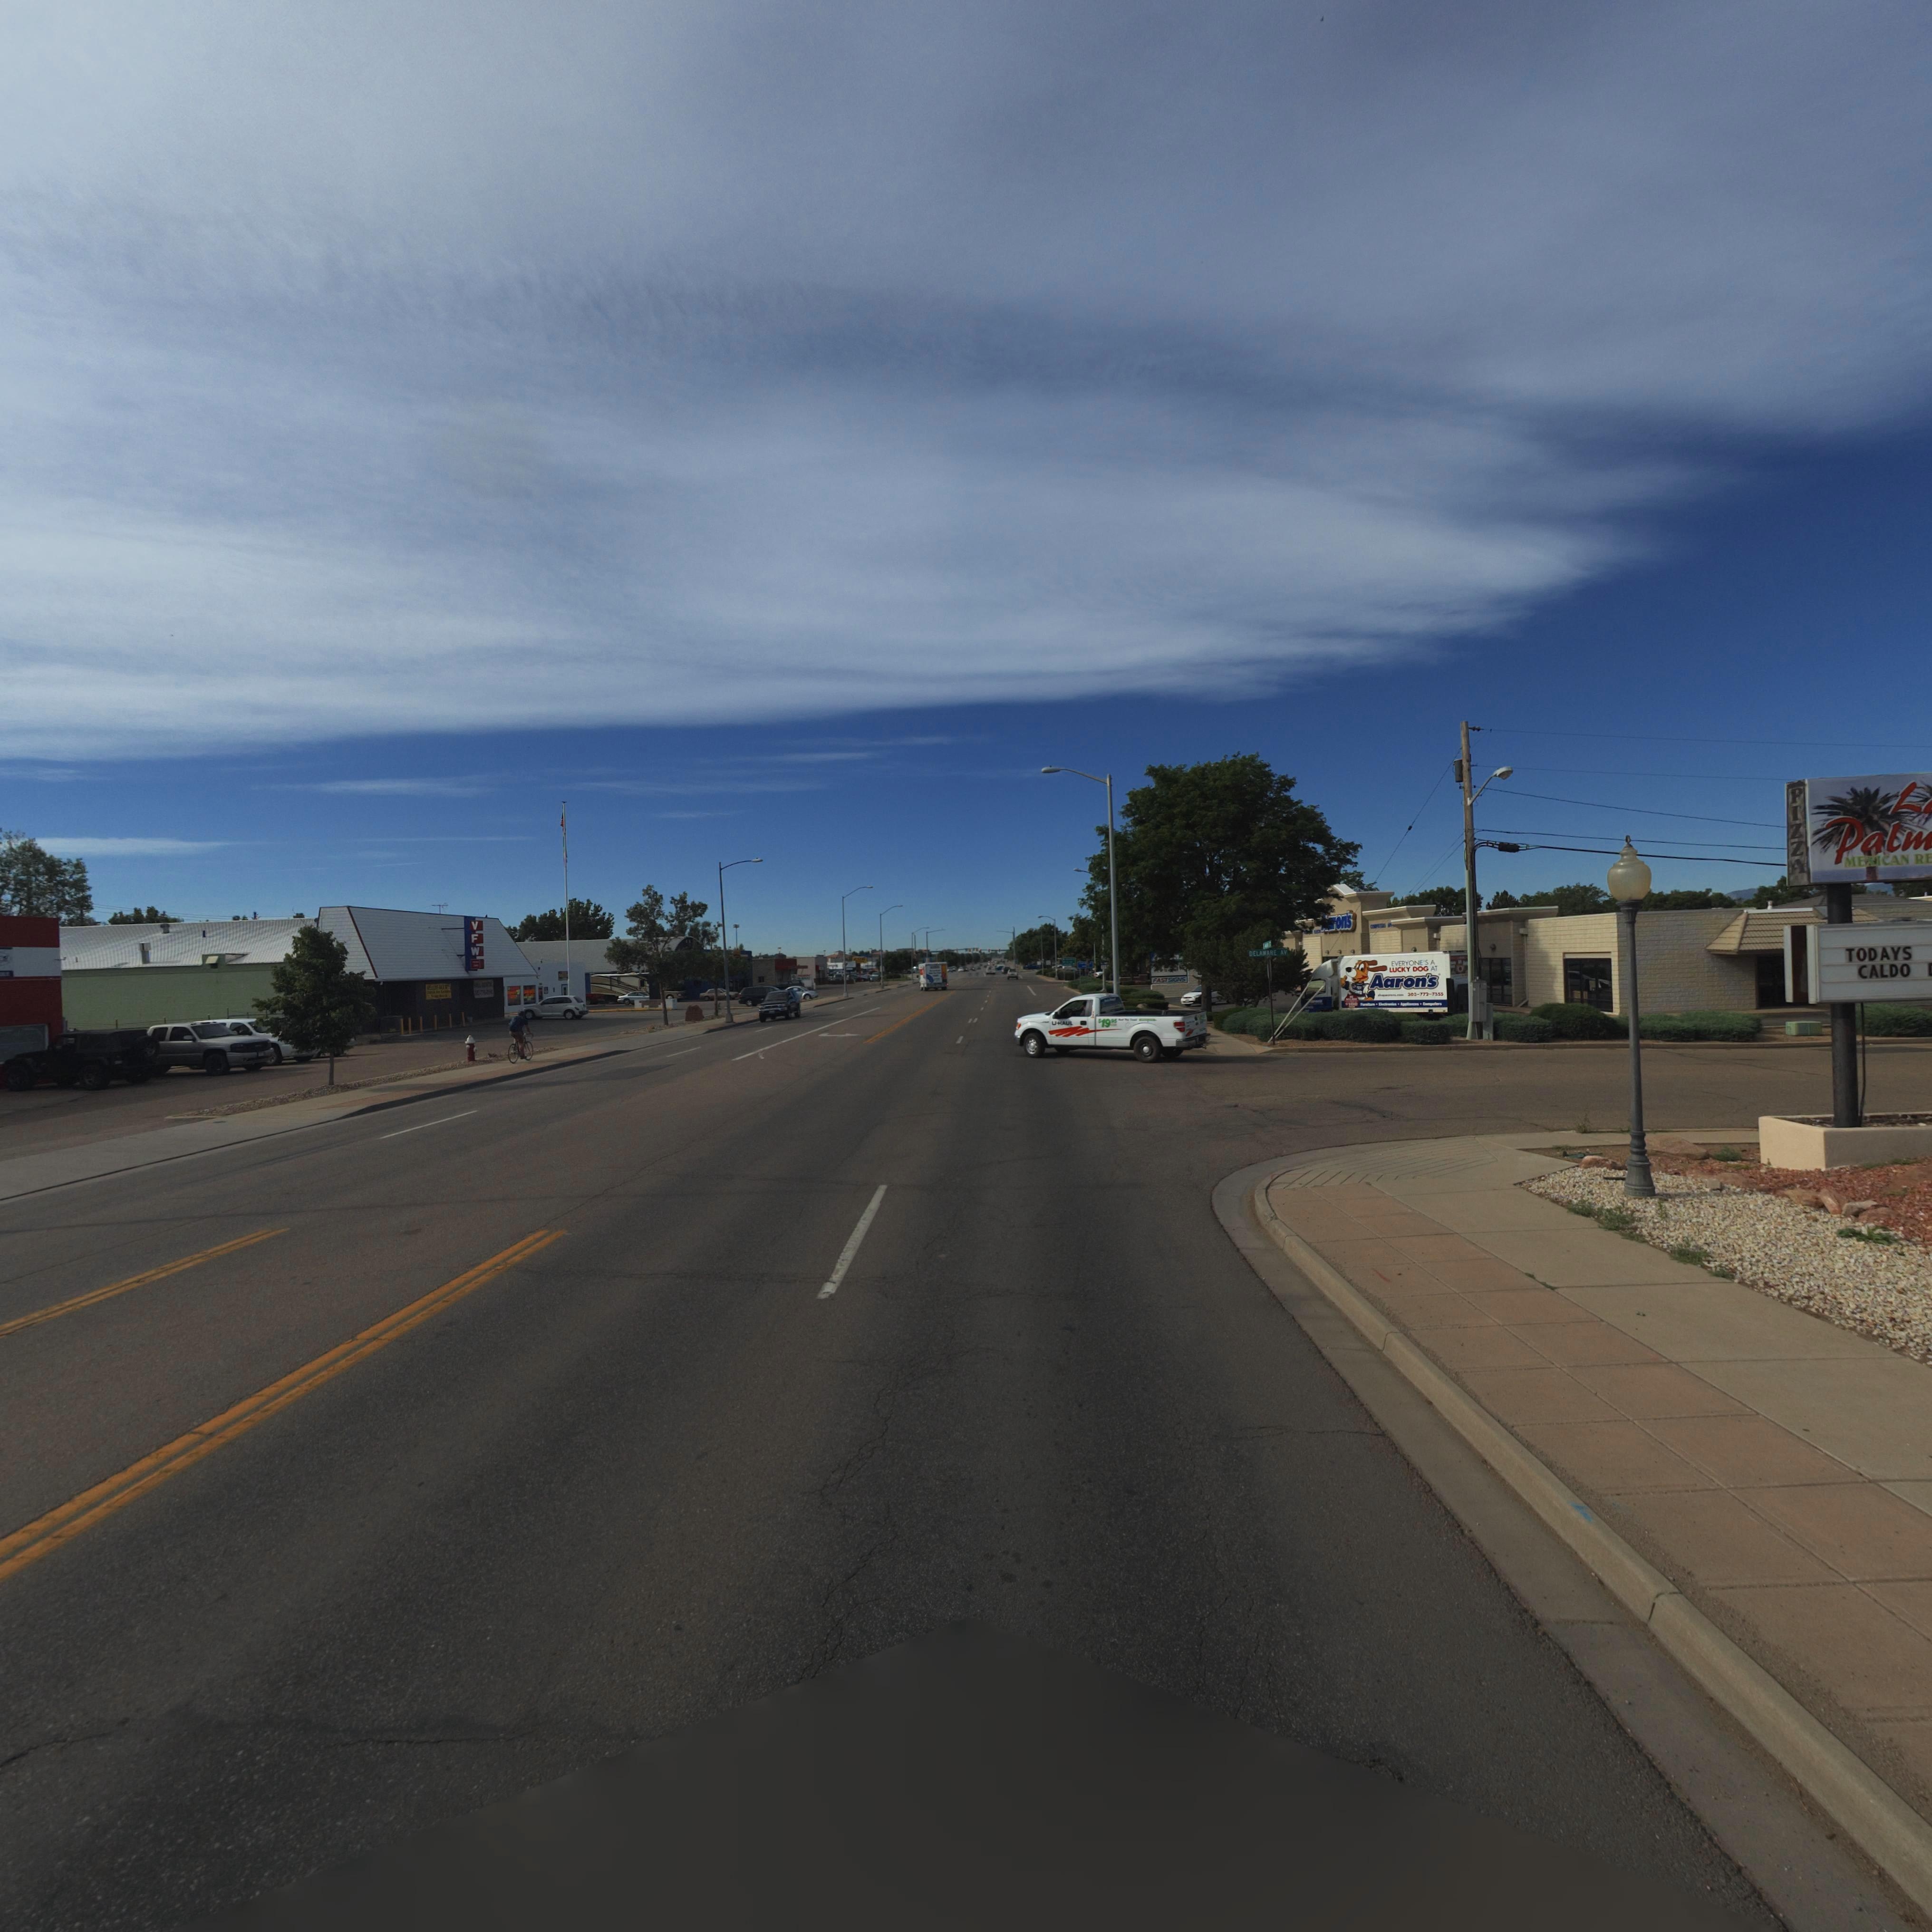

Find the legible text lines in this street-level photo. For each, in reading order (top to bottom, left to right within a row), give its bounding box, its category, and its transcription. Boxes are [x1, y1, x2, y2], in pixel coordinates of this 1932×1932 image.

[1787, 787, 1806, 875] BusinessName: PIZZA
[1842, 851, 1924, 869] BusinessName: MEXICAN R
[1319, 909, 1352, 932] BusinessName: ***ON'S
[469, 919, 485, 970] BusinessName: V F W
[852, 957, 865, 960] BusinessName: ZO*
[1249, 949, 1288, 956] StreetName: DELAWARE AV
[1151, 976, 1187, 983] BusinessName: FAST SIGNS